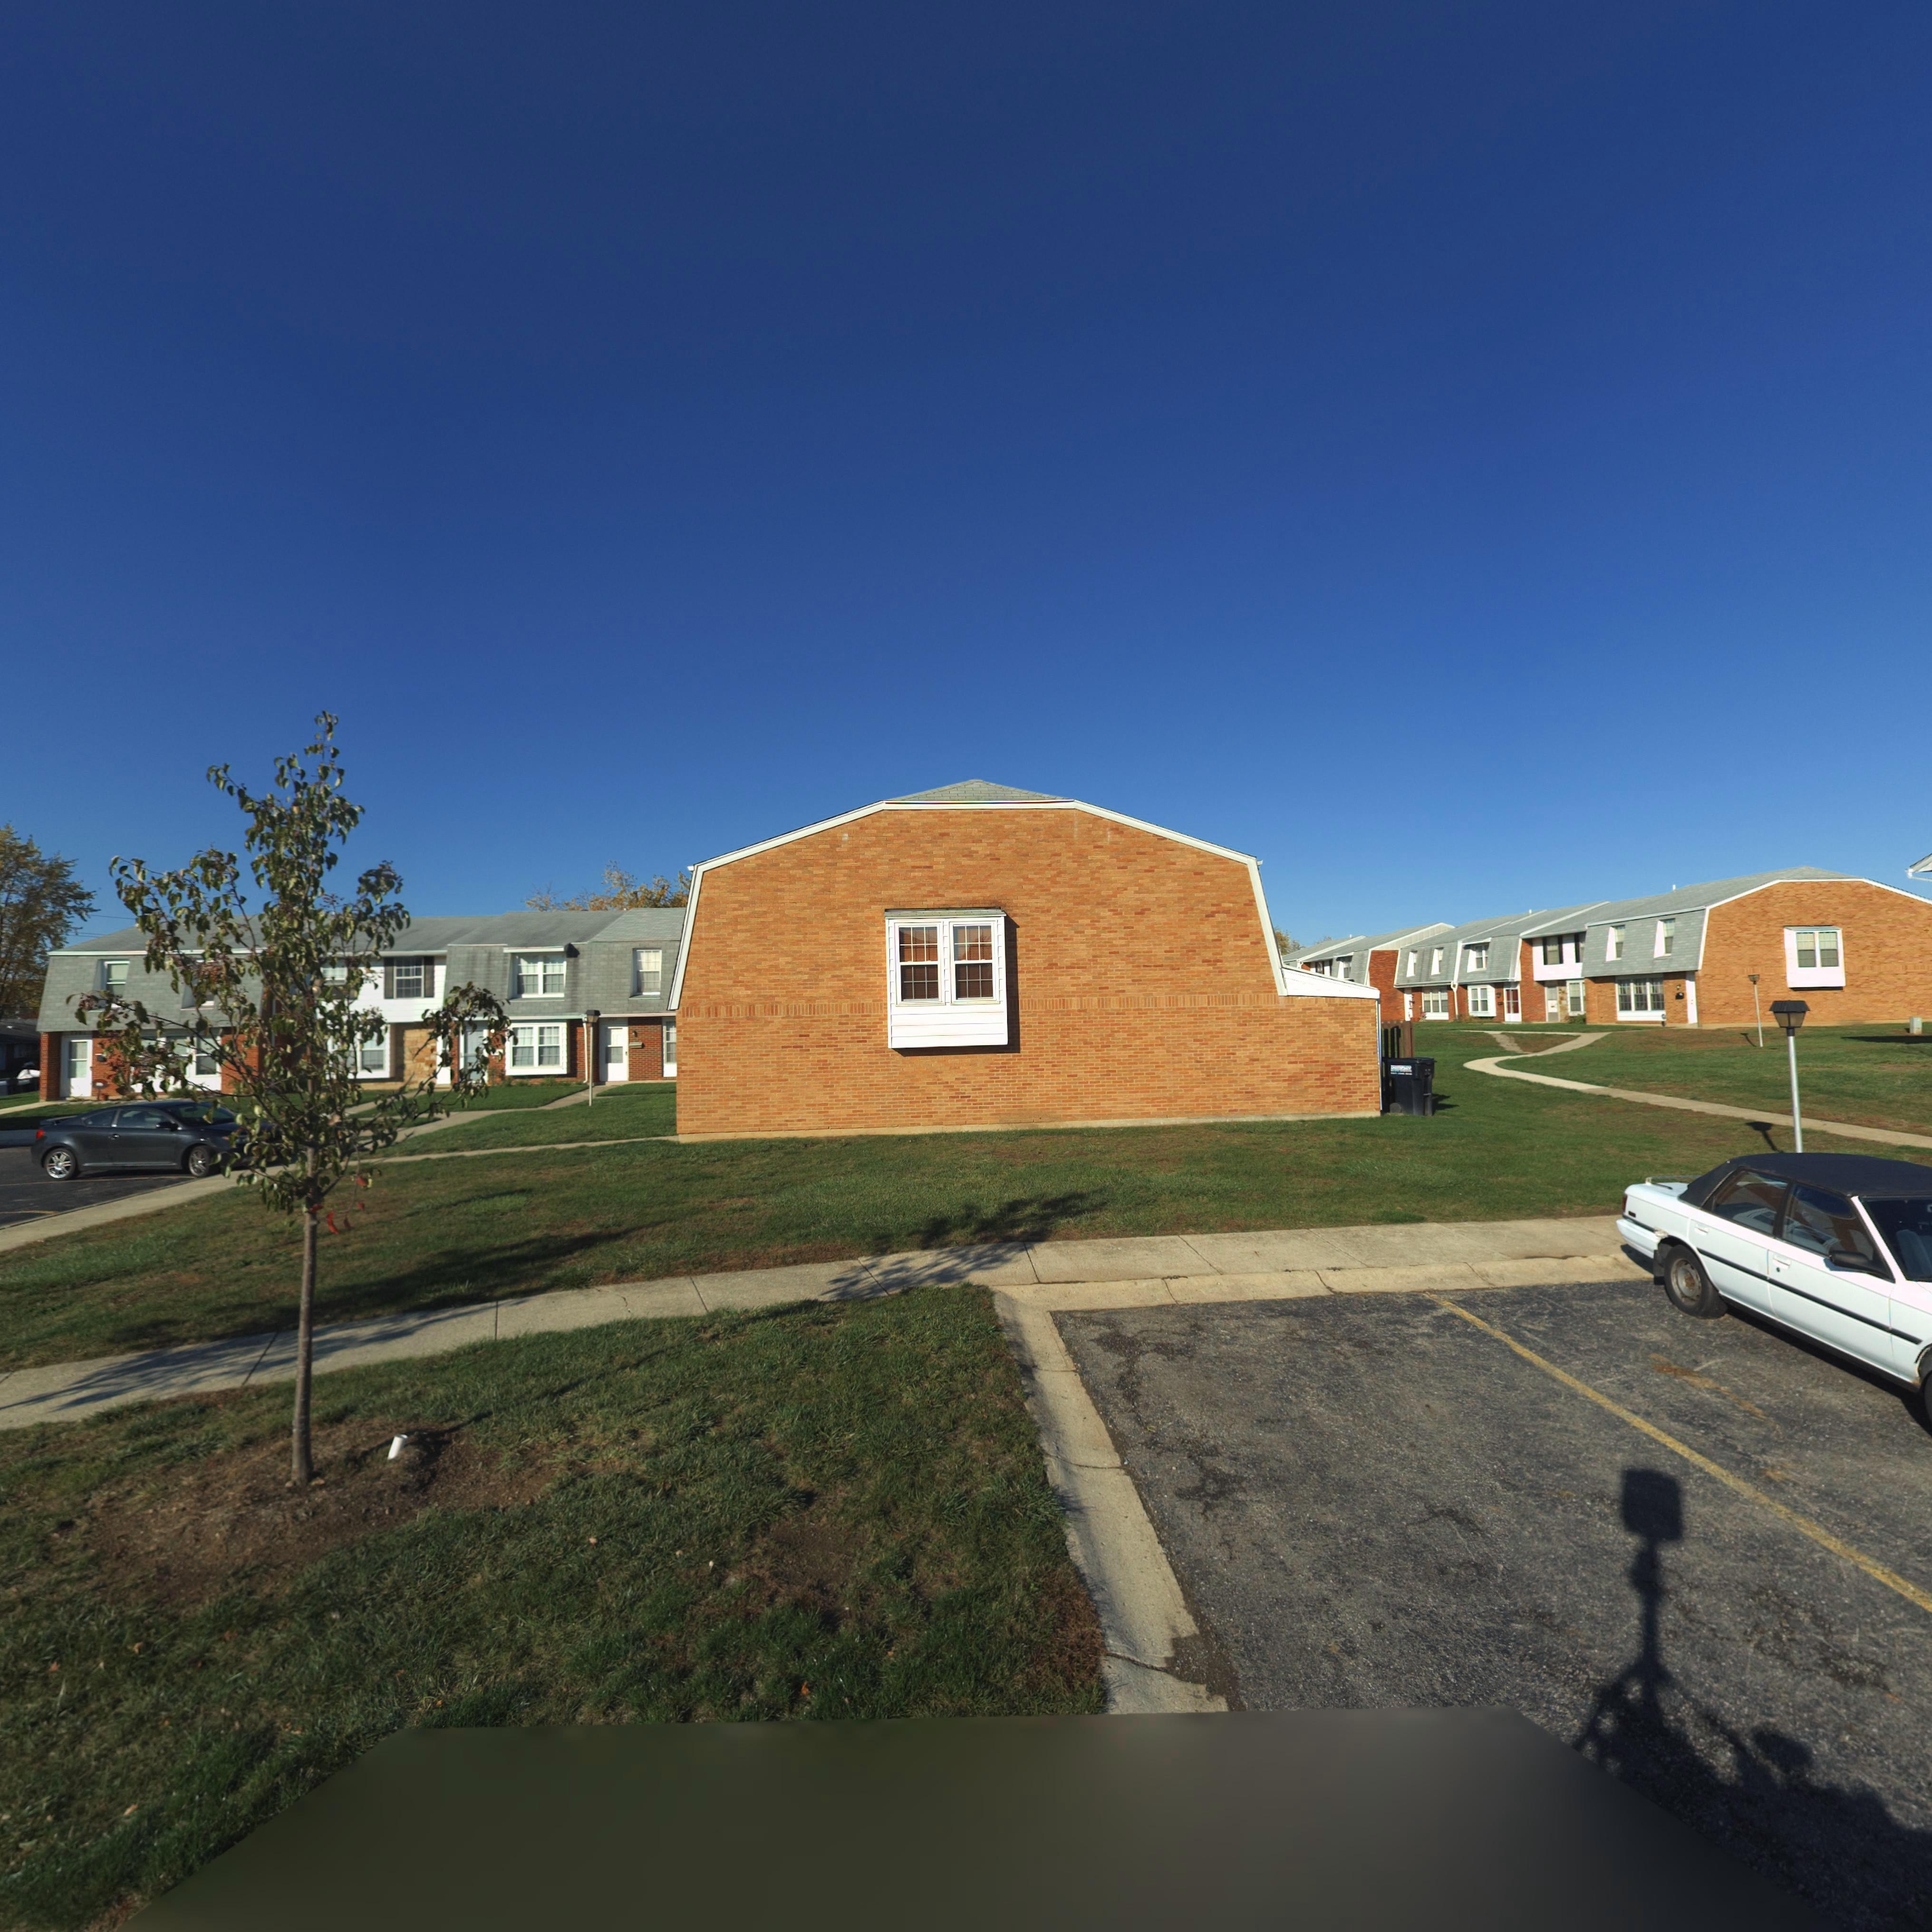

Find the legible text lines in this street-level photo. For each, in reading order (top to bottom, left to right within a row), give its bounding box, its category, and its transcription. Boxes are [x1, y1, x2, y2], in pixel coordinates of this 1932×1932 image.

[69, 1031, 86, 1035] StreetNumber: 7*0*